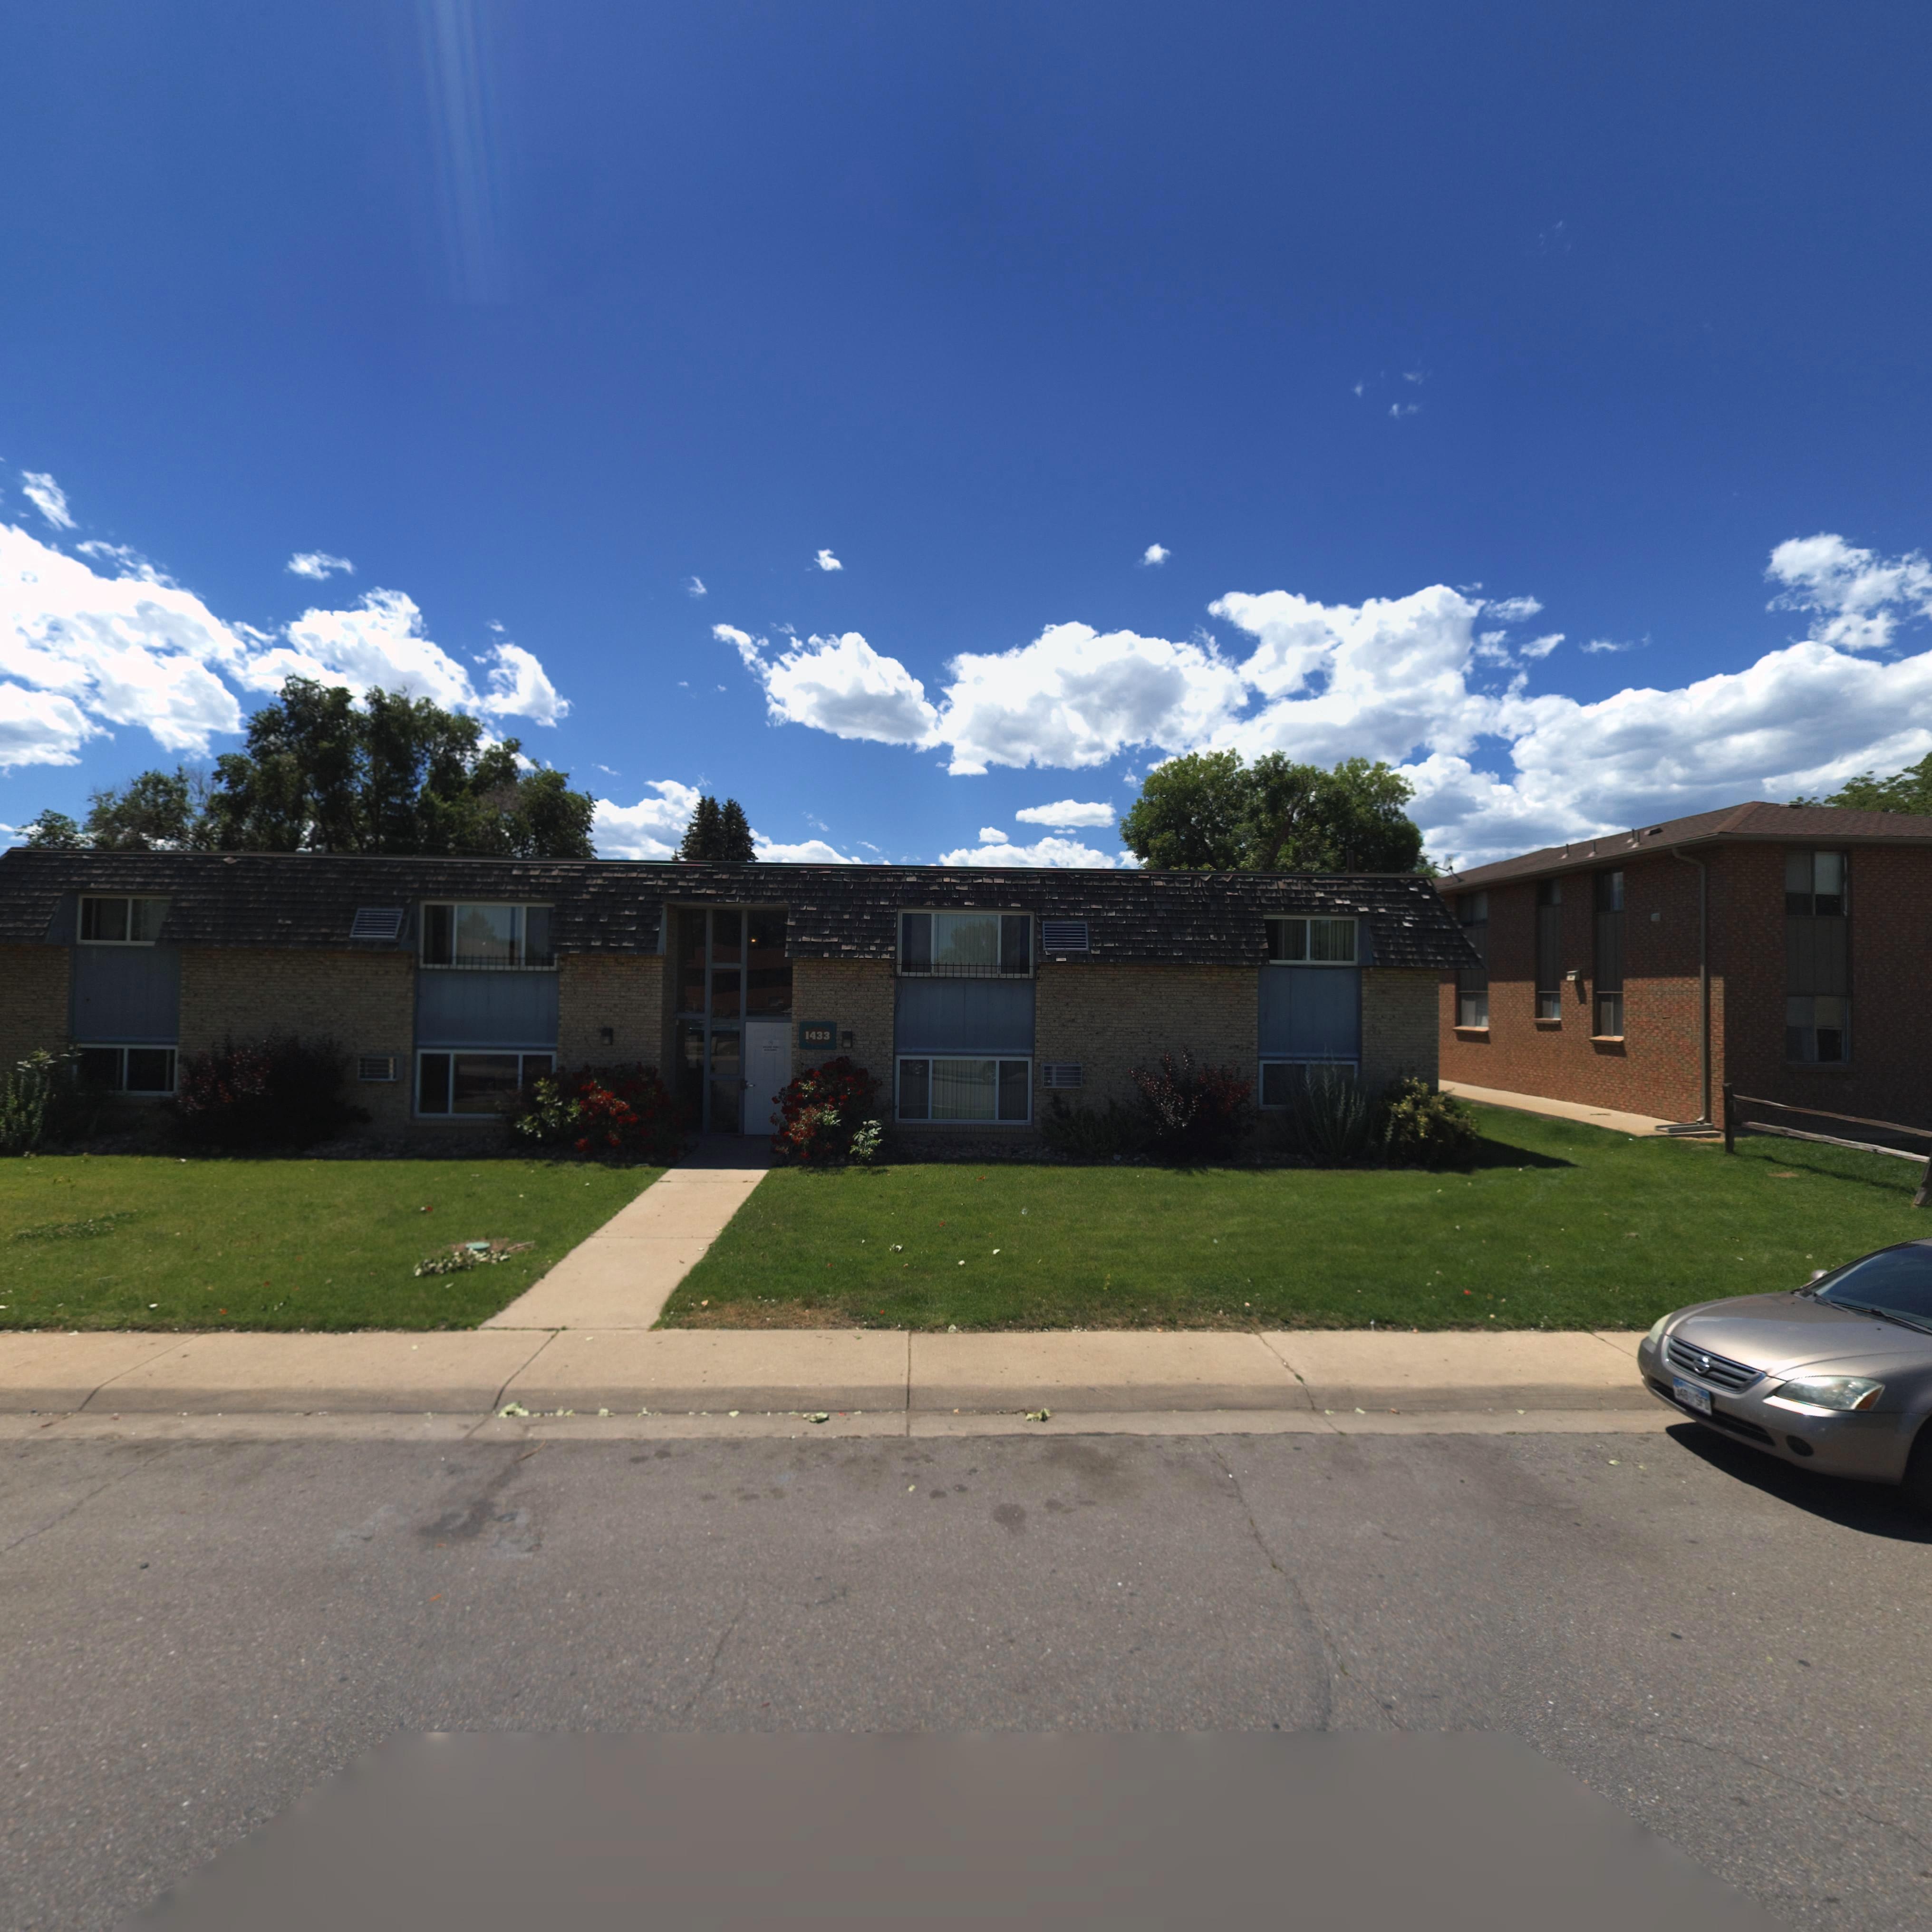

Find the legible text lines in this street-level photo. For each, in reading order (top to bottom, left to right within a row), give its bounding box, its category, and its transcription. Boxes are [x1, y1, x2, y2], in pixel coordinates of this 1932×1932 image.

[805, 1030, 830, 1040] StreetNumber: 1433